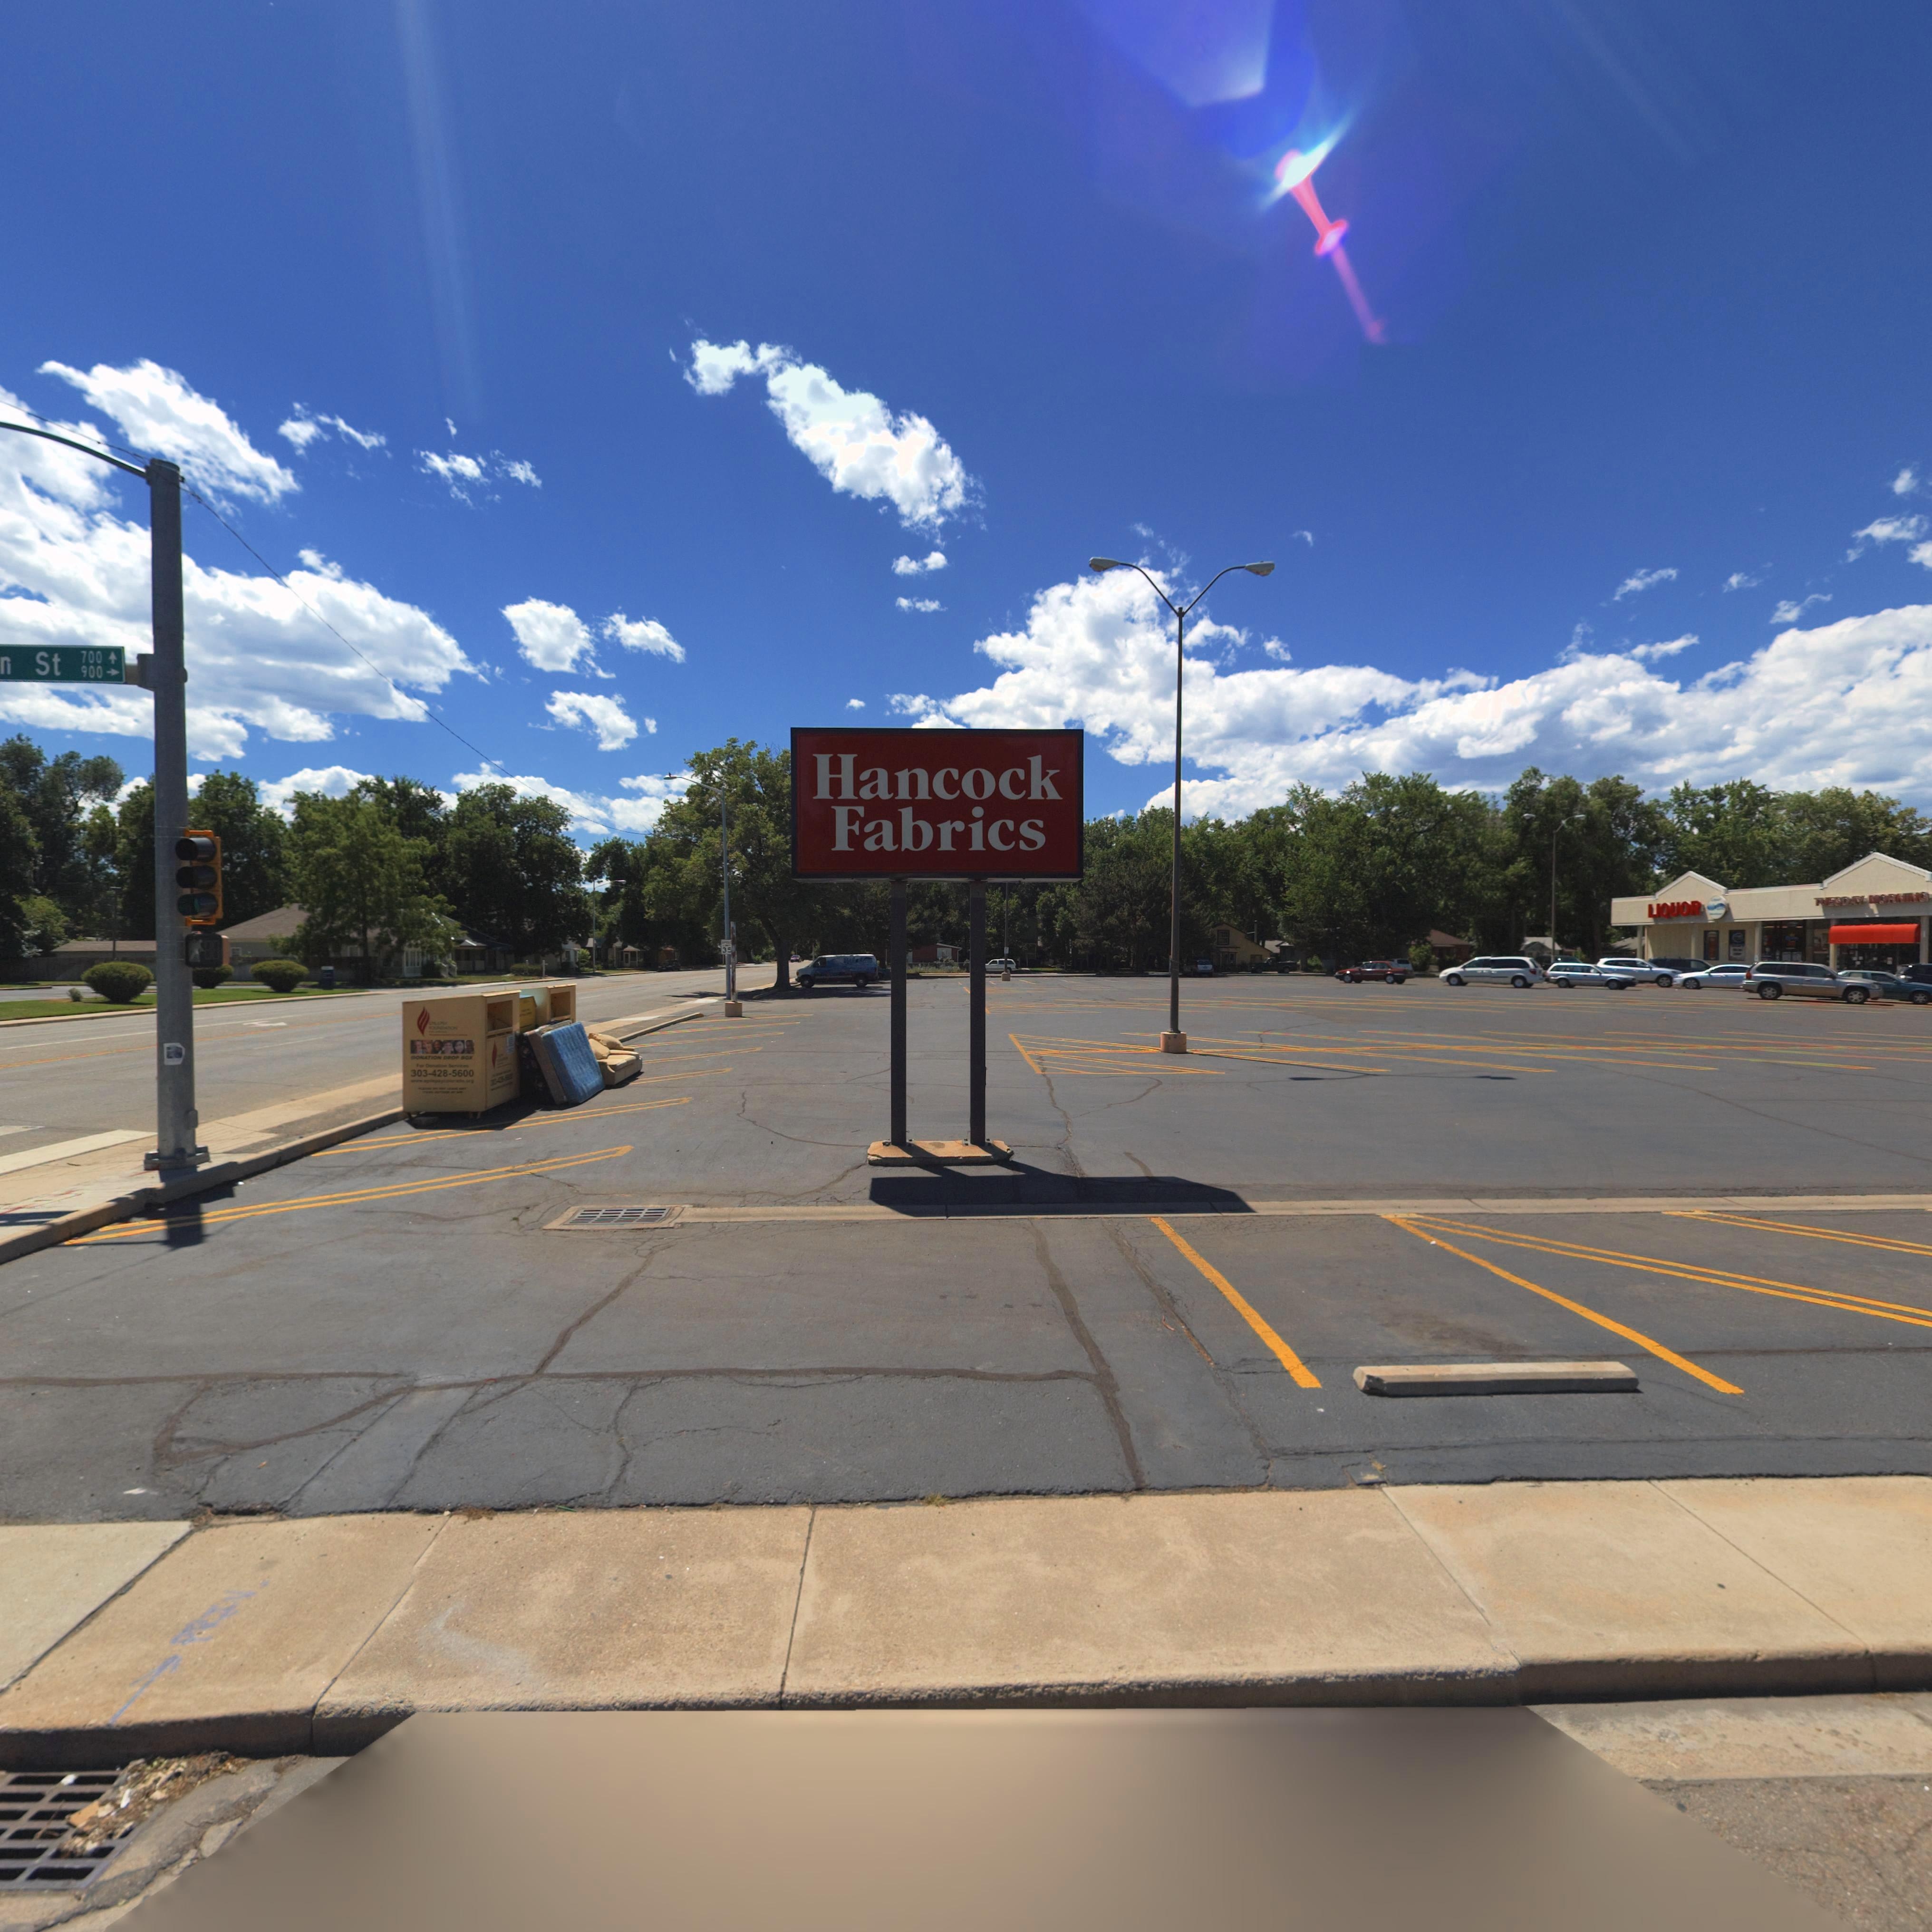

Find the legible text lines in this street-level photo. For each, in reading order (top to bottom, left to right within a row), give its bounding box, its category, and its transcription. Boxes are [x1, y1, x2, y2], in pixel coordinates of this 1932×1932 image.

[35, 651, 61, 676] StreetName: St
[80, 650, 103, 664] StreetNumberRange: 700
[80, 664, 120, 679] StreetNumberRange: 900 ->
[811, 753, 1064, 800] BusinessName: Hancock
[830, 805, 1045, 852] BusinessName: Fabrics
[1813, 891, 1929, 907] BusinessName: TUESDAY MORNING